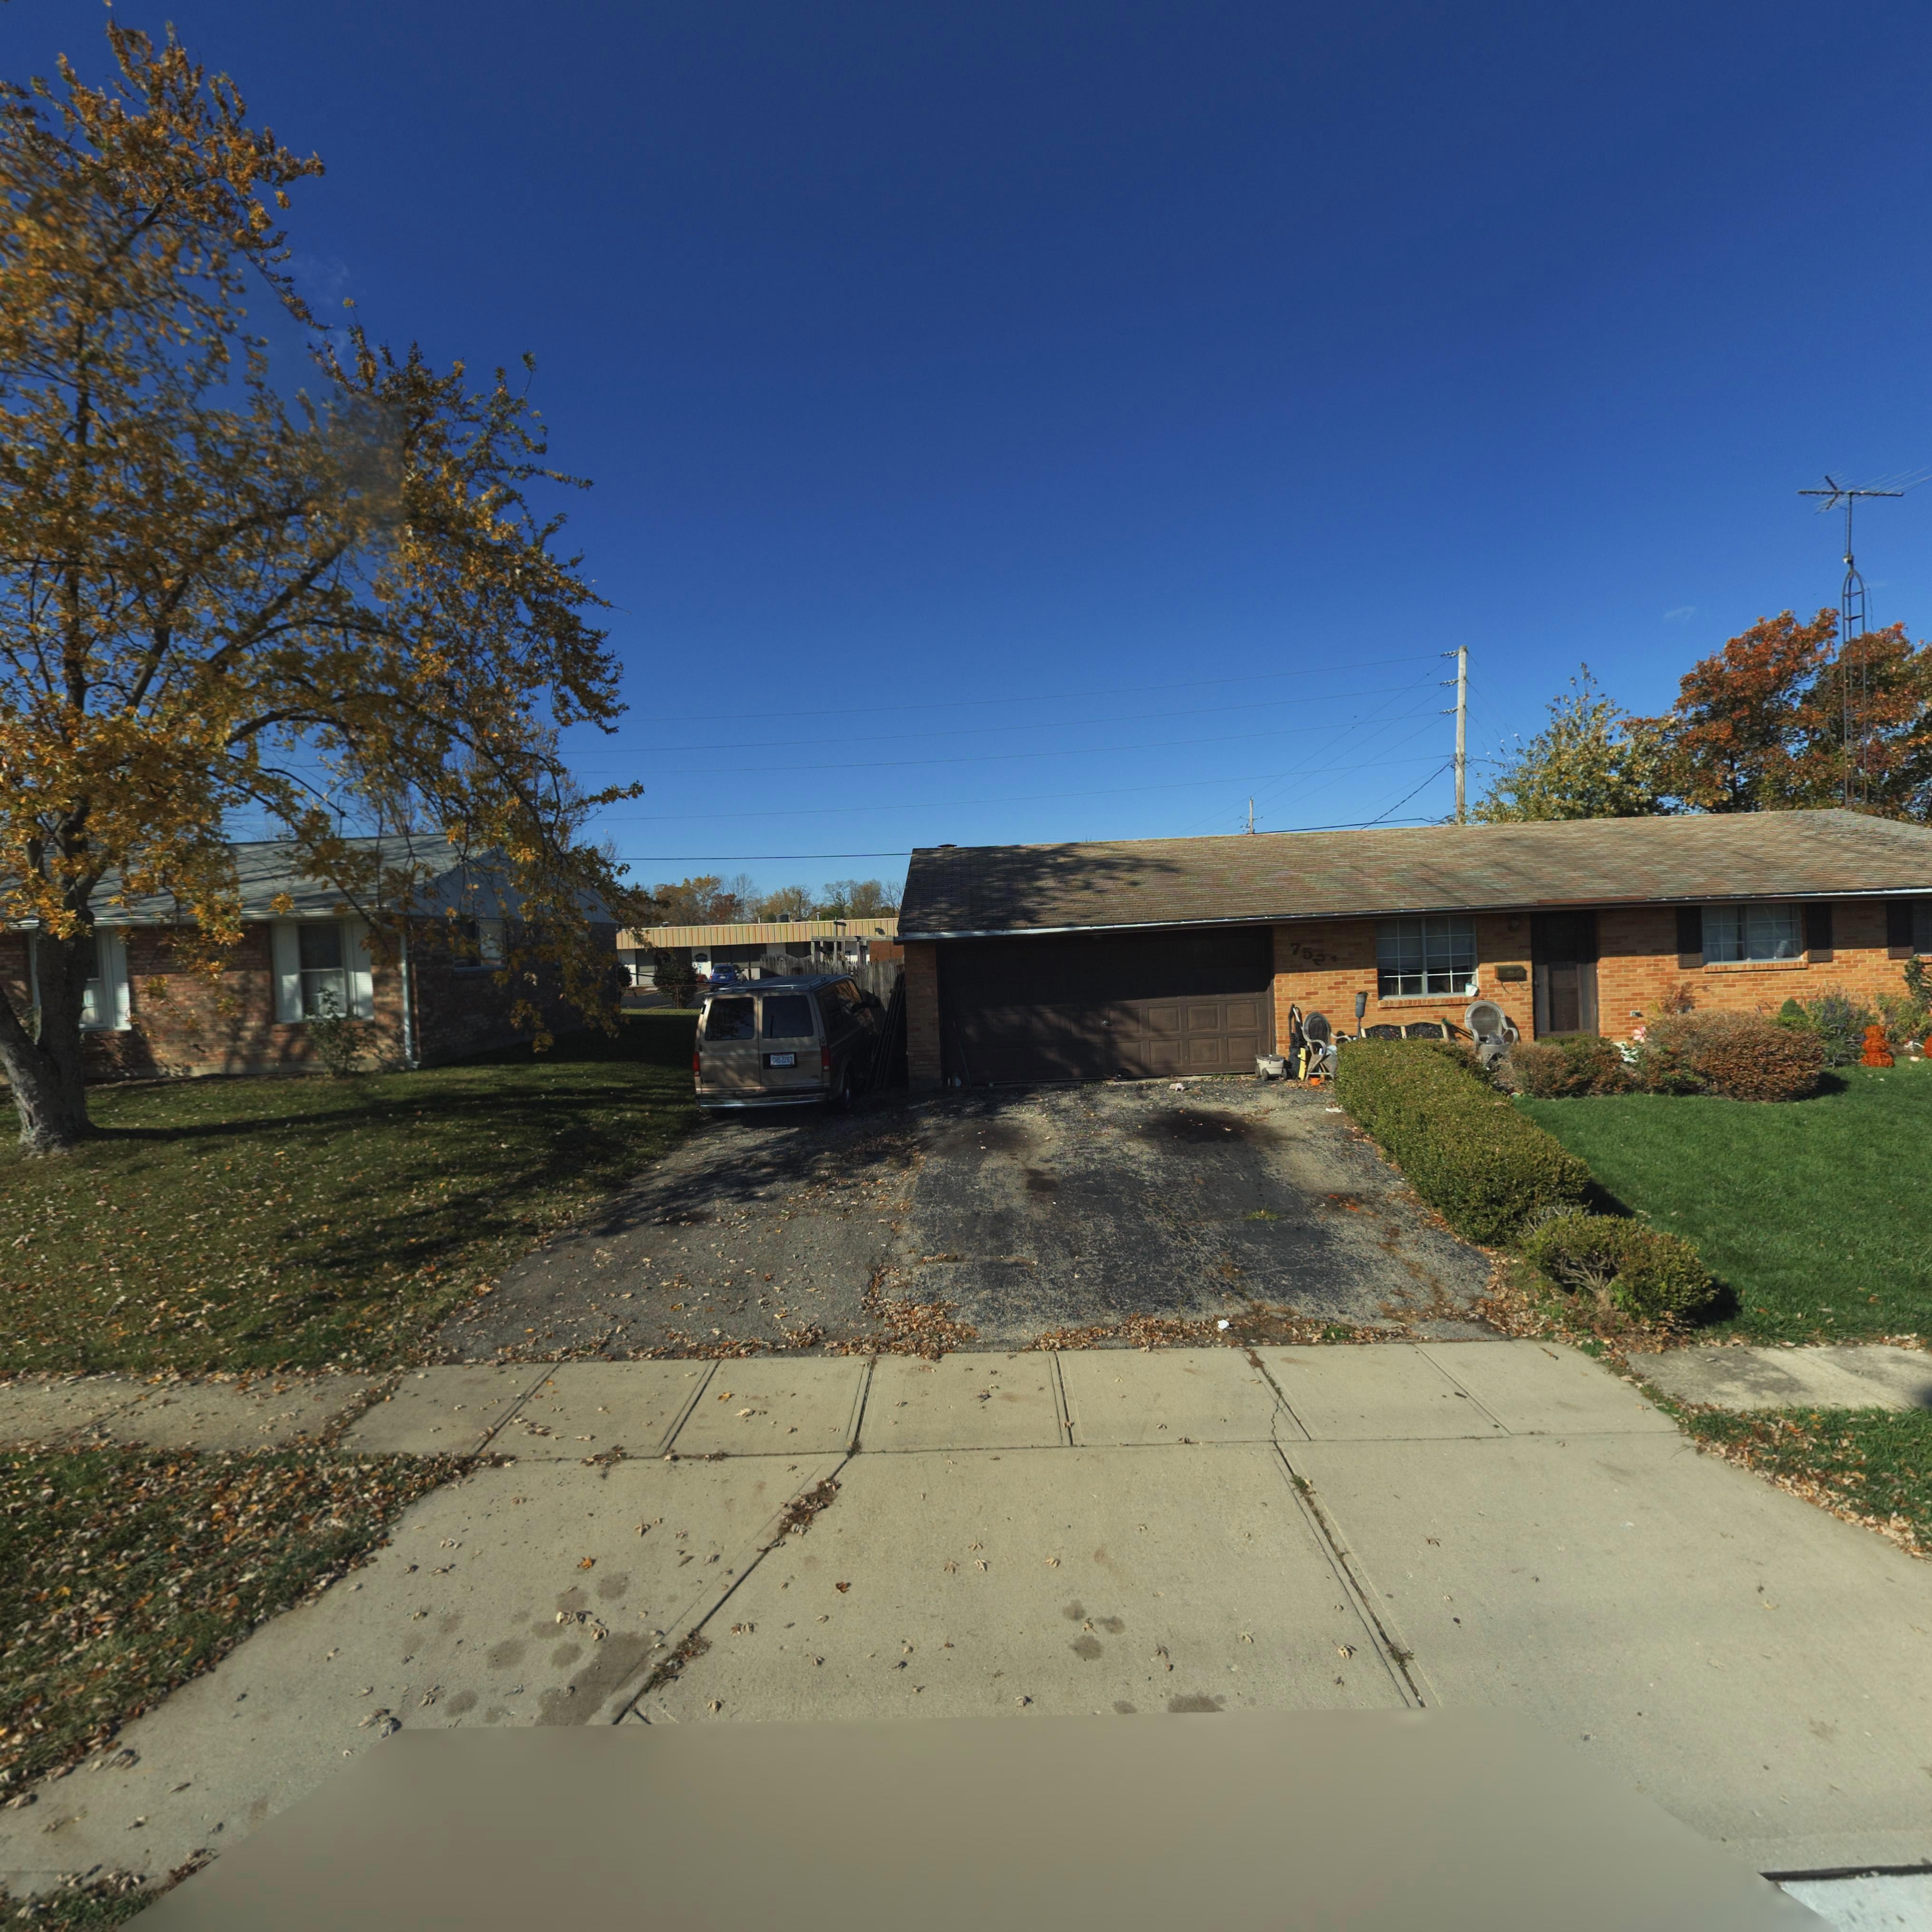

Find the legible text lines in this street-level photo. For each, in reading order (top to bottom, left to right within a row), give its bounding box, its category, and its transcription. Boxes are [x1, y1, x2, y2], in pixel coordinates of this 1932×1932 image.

[1290, 942, 1326, 967] StreetNumber: 752